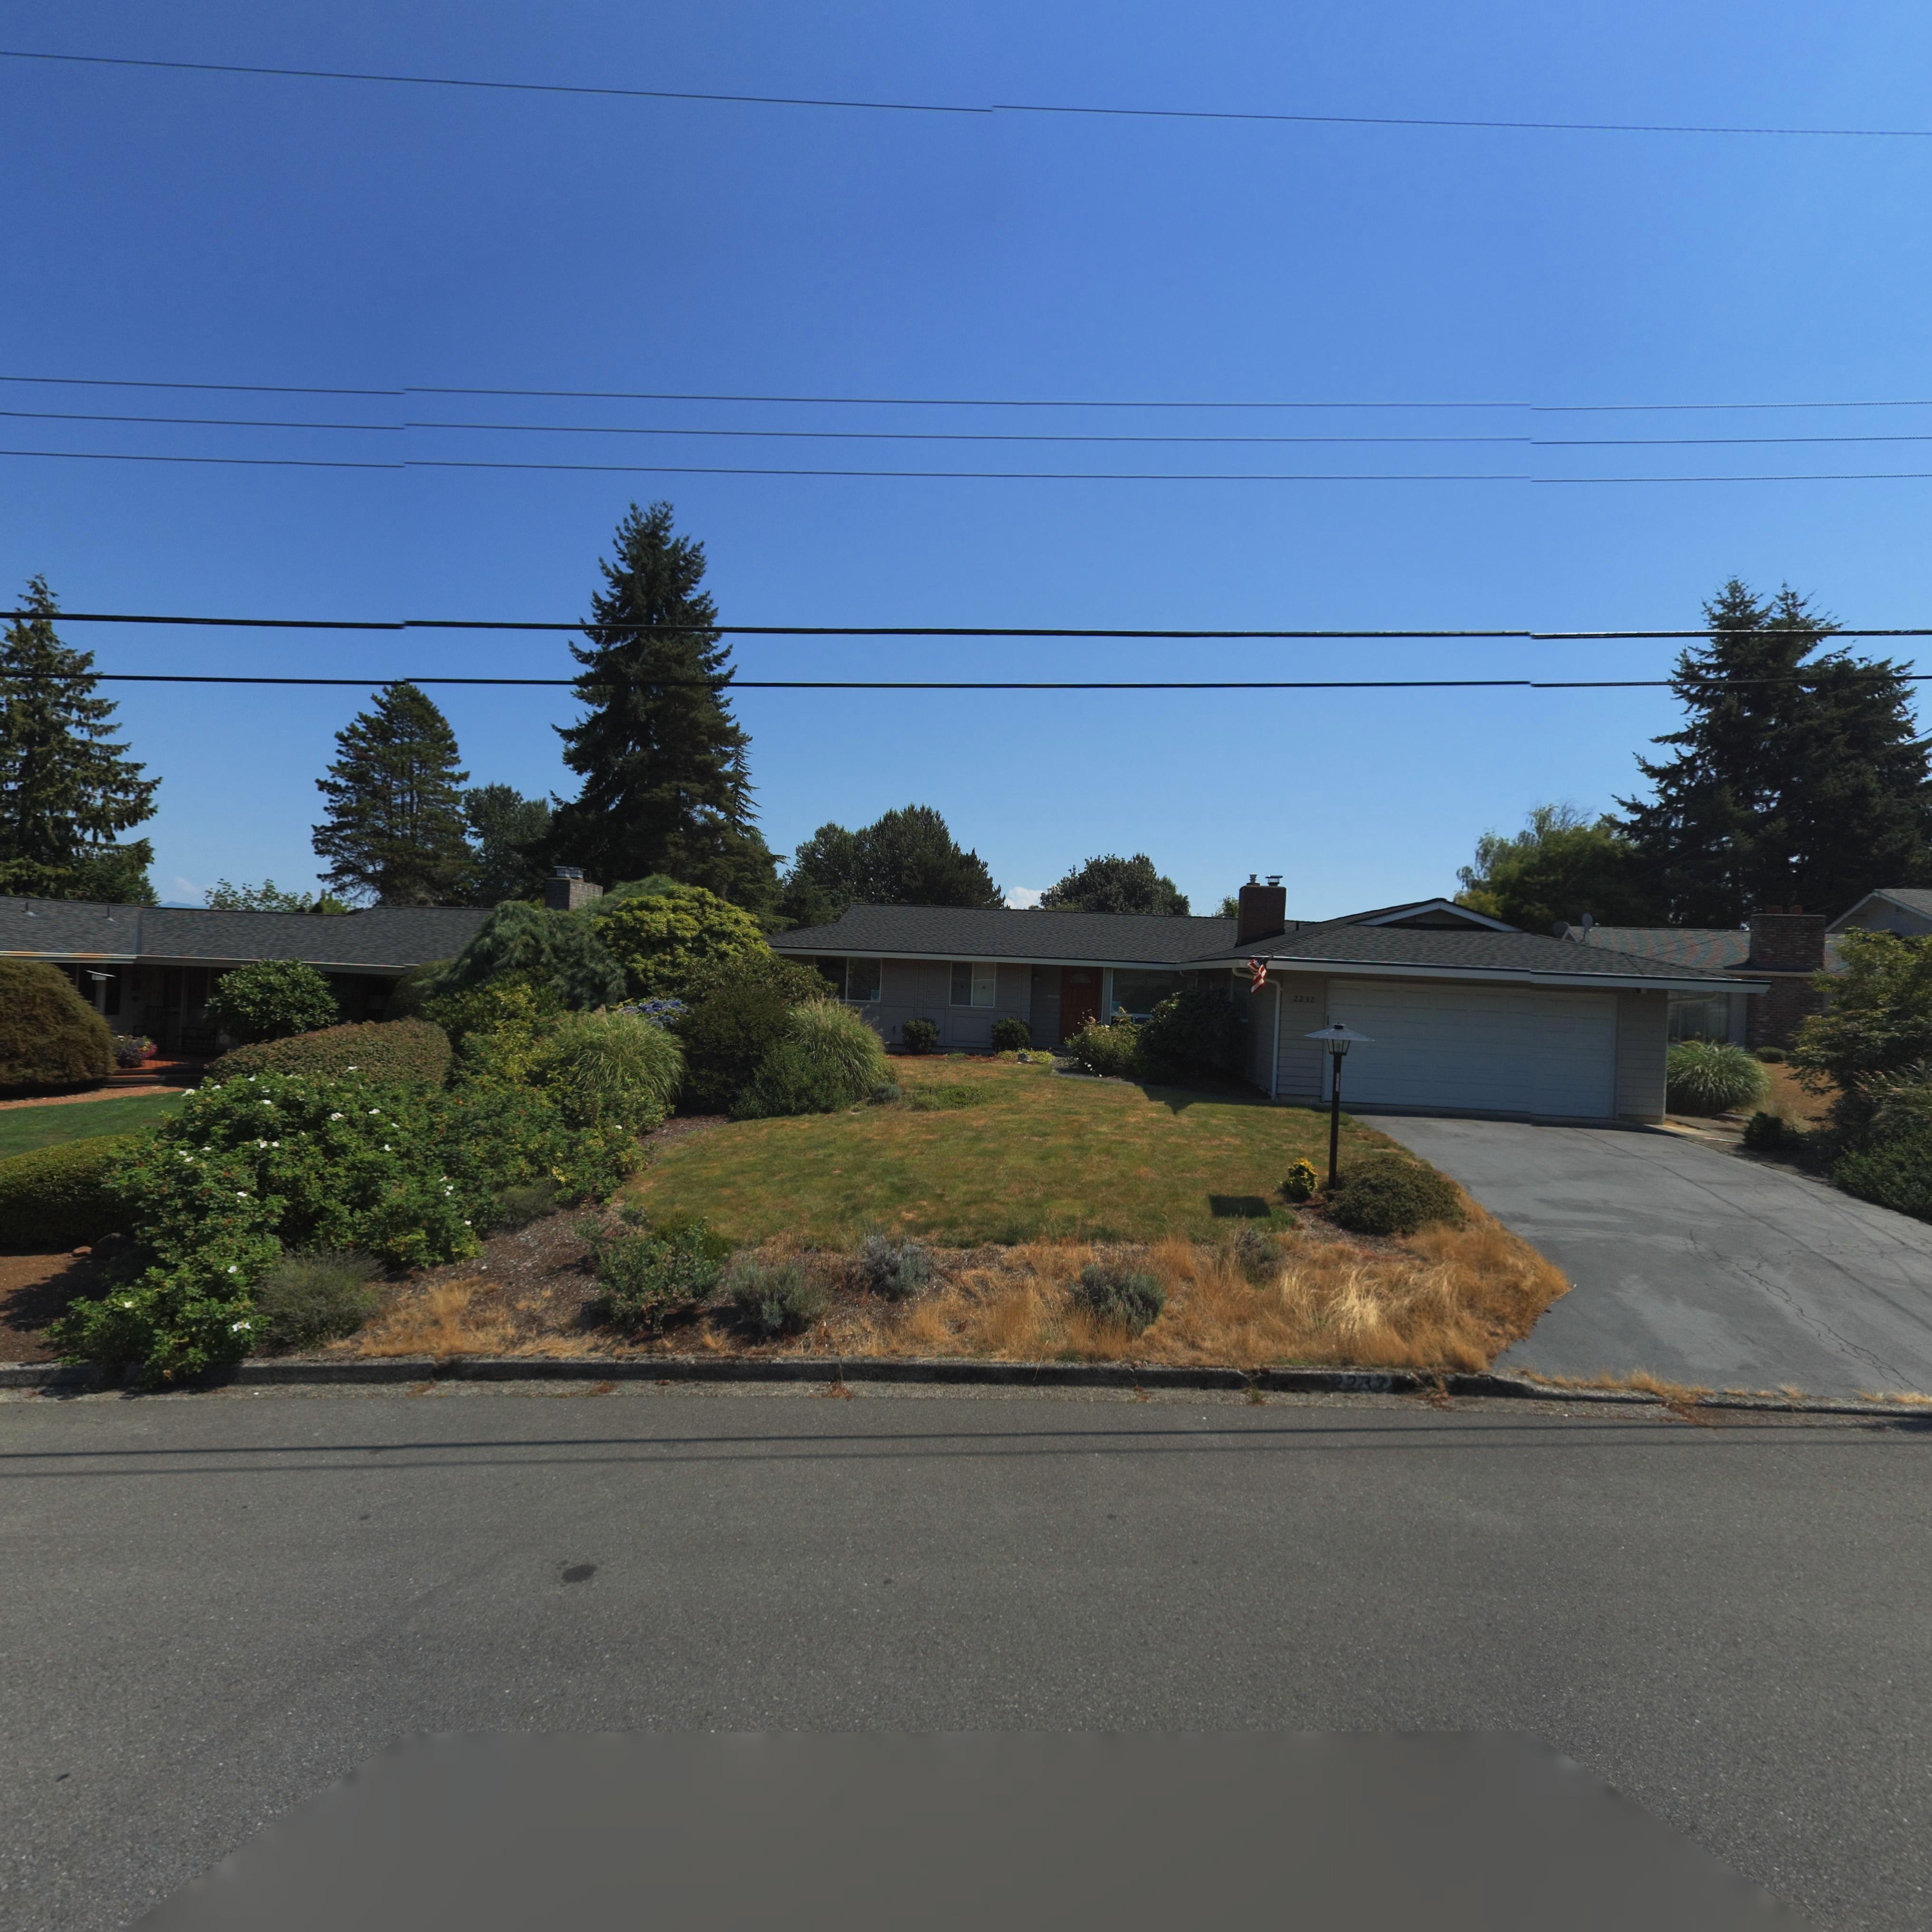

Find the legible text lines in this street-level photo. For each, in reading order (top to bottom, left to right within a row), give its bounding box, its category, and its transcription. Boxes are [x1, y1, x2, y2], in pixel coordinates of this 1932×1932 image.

[1293, 995, 1314, 1003] StreetNumber: 2232